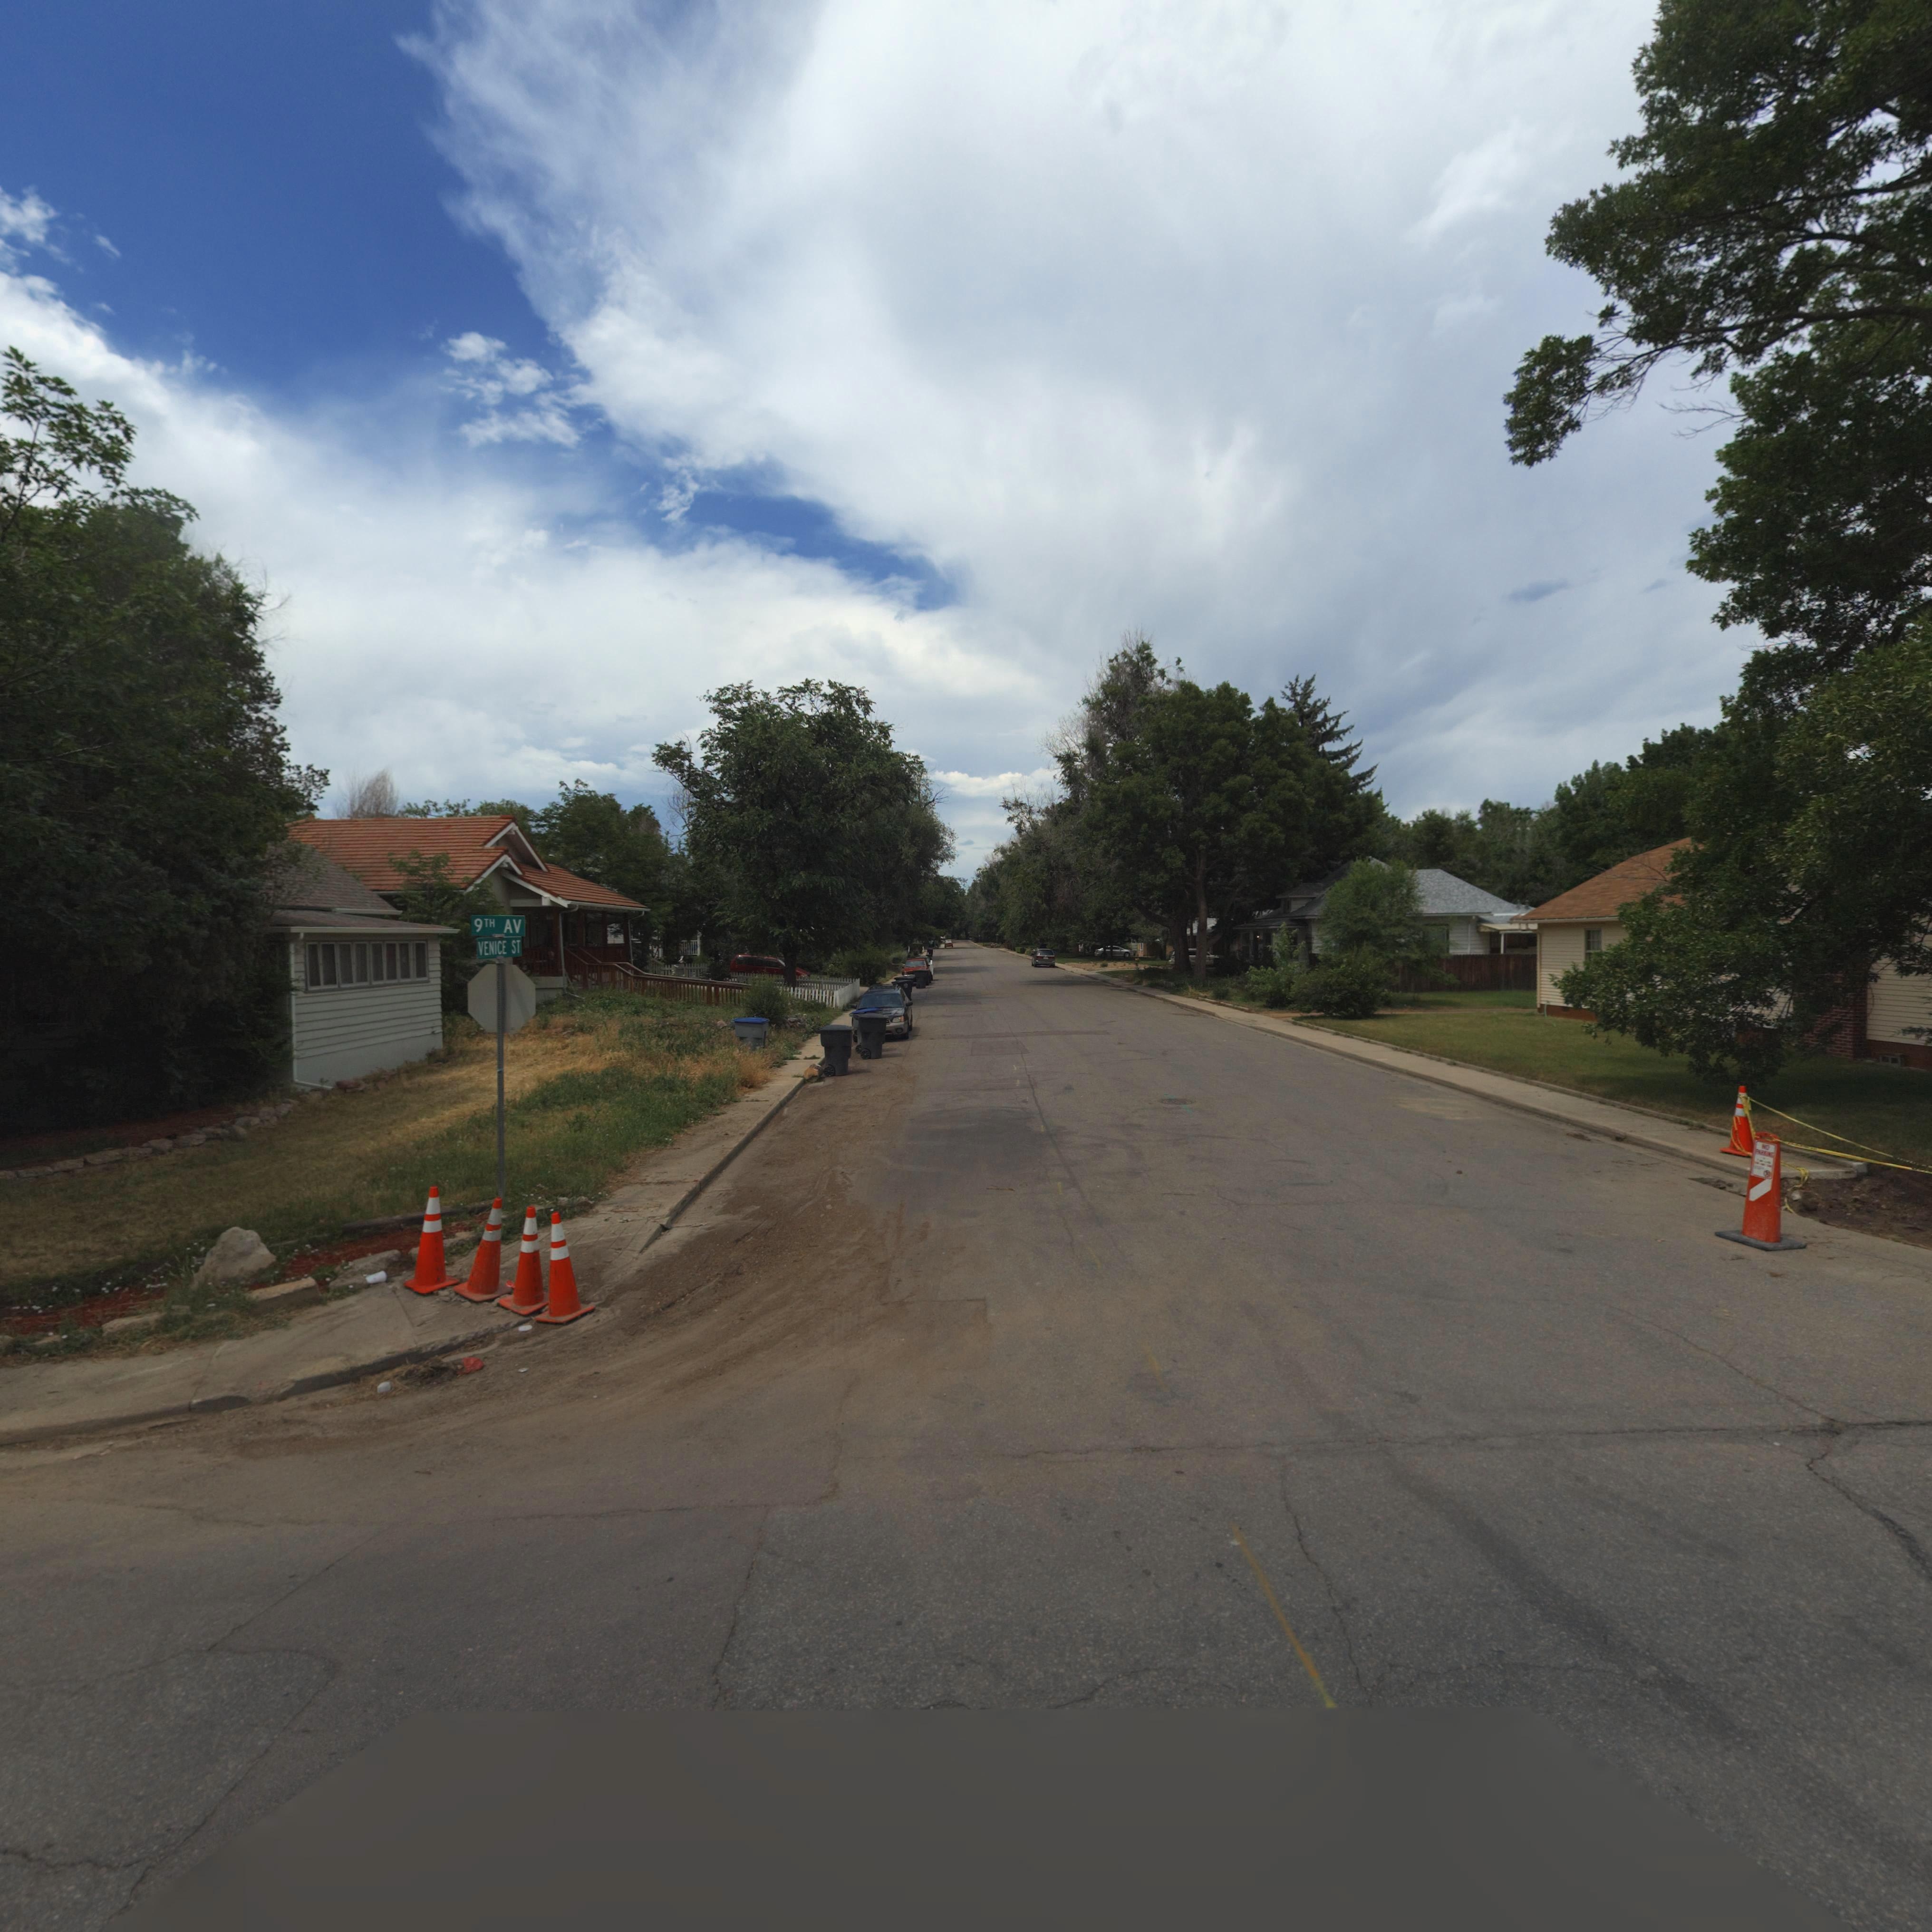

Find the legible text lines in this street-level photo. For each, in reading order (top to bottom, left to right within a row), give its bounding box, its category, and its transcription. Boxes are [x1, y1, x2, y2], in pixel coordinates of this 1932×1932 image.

[473, 918, 522, 934] StreetName: 9TH AV
[476, 939, 521, 956] StreetName: VENICE ST